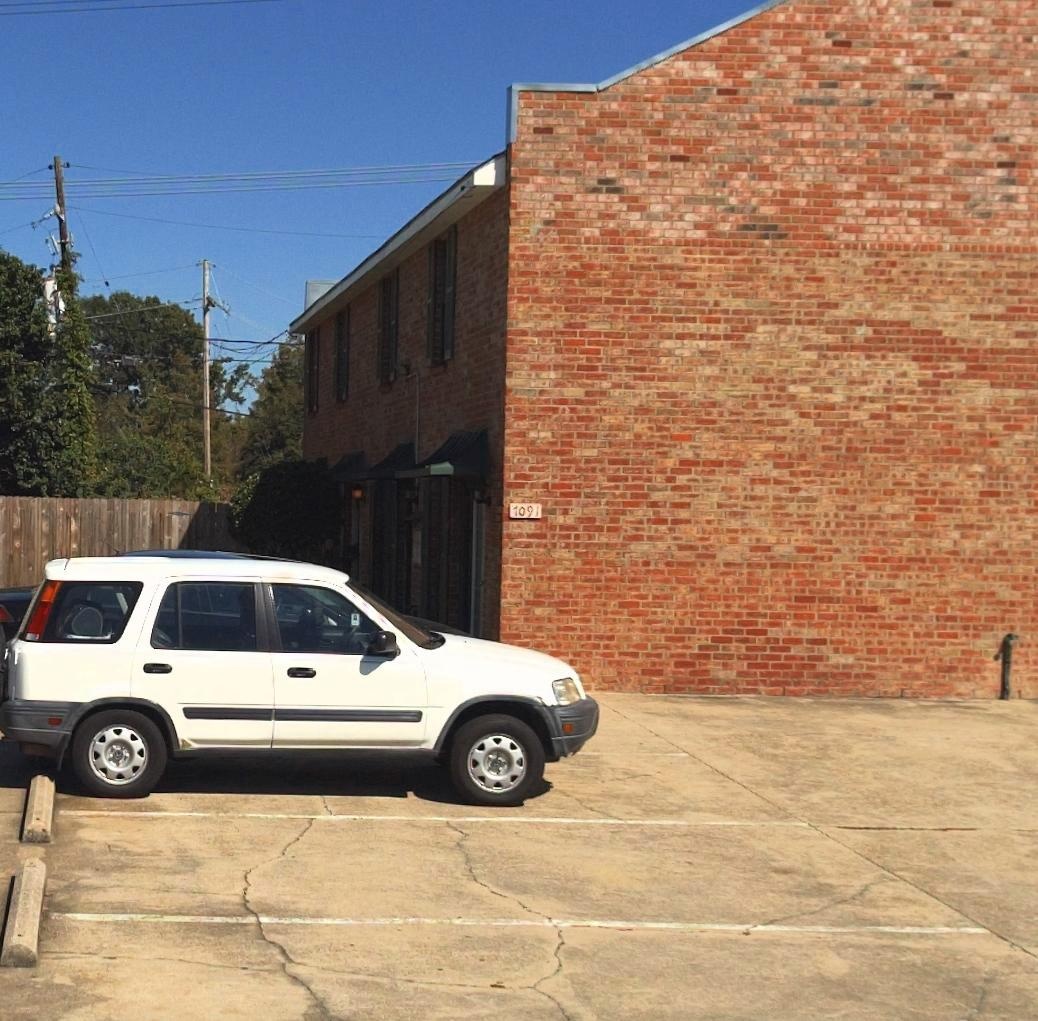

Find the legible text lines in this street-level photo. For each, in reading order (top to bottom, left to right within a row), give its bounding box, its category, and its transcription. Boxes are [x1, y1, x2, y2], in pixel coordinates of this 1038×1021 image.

[510, 503, 541, 519] StreetNumber: 1091